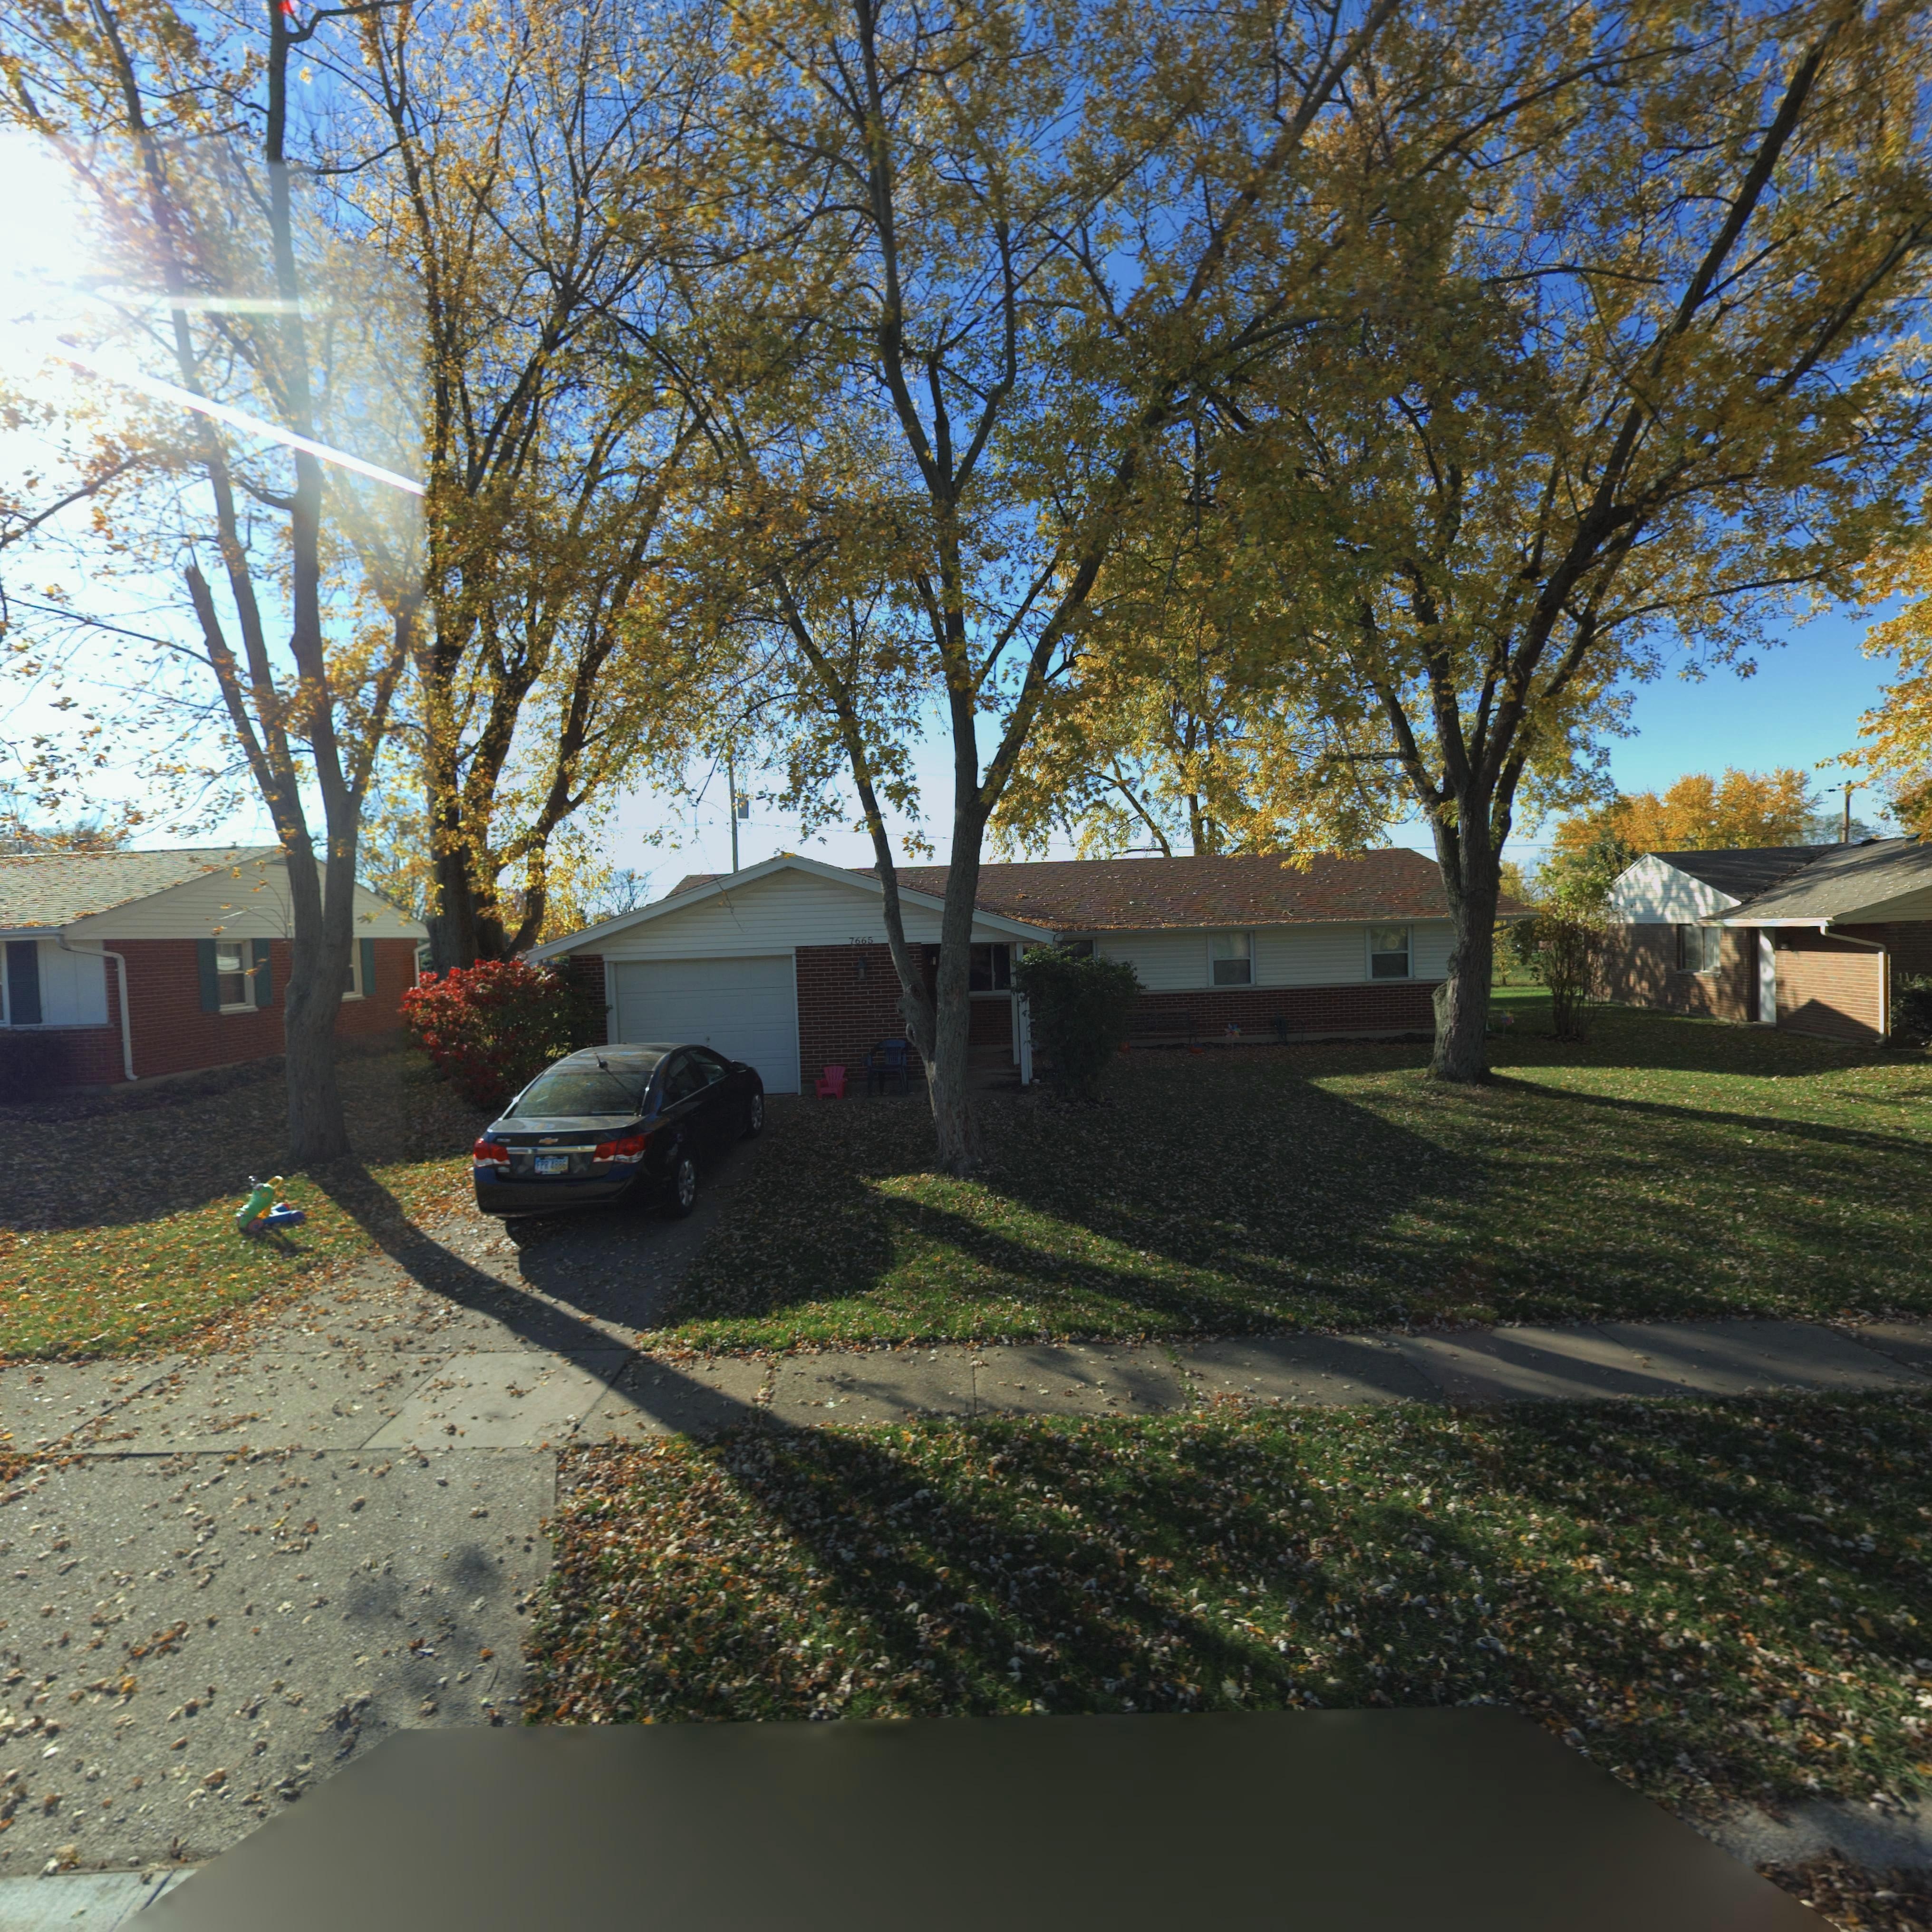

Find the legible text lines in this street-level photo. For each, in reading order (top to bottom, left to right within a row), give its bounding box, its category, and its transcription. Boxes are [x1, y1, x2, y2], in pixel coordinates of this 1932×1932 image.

[848, 936, 875, 946] StreetNumber: 7665